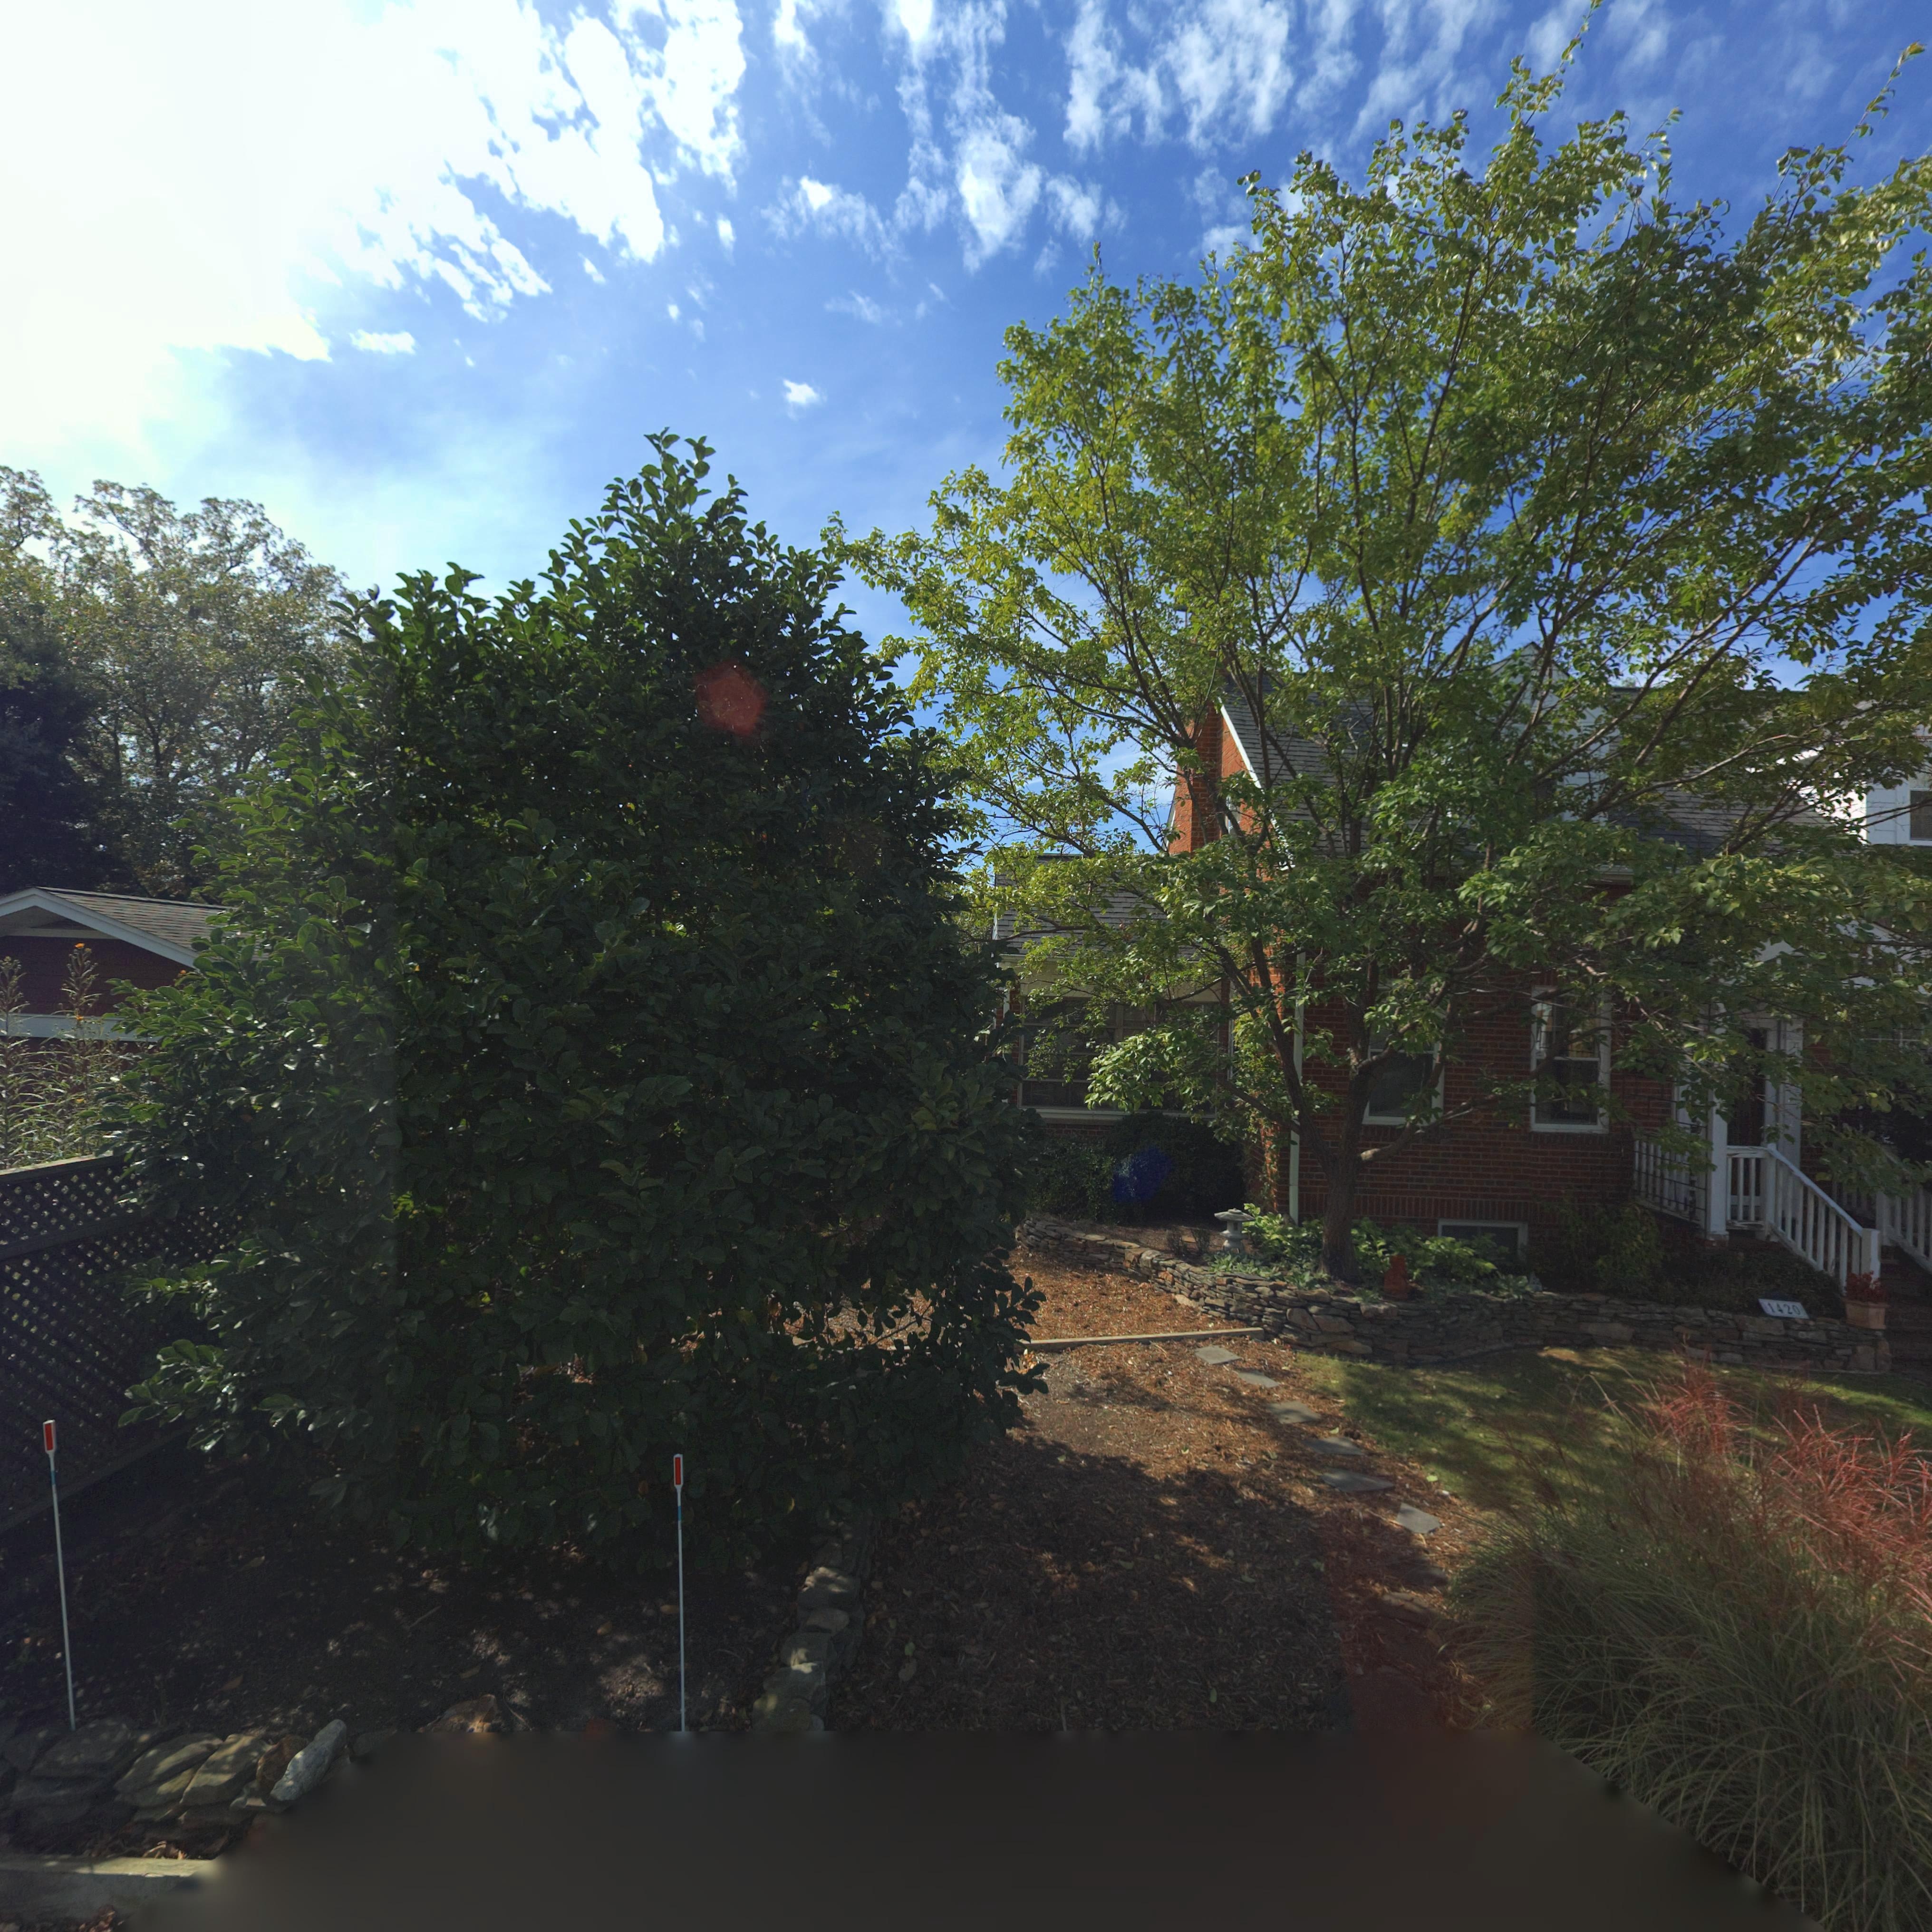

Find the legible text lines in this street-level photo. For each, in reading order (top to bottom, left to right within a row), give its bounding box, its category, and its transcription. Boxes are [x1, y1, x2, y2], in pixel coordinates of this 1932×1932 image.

[1765, 1301, 1803, 1316] StreetNumber: 1420